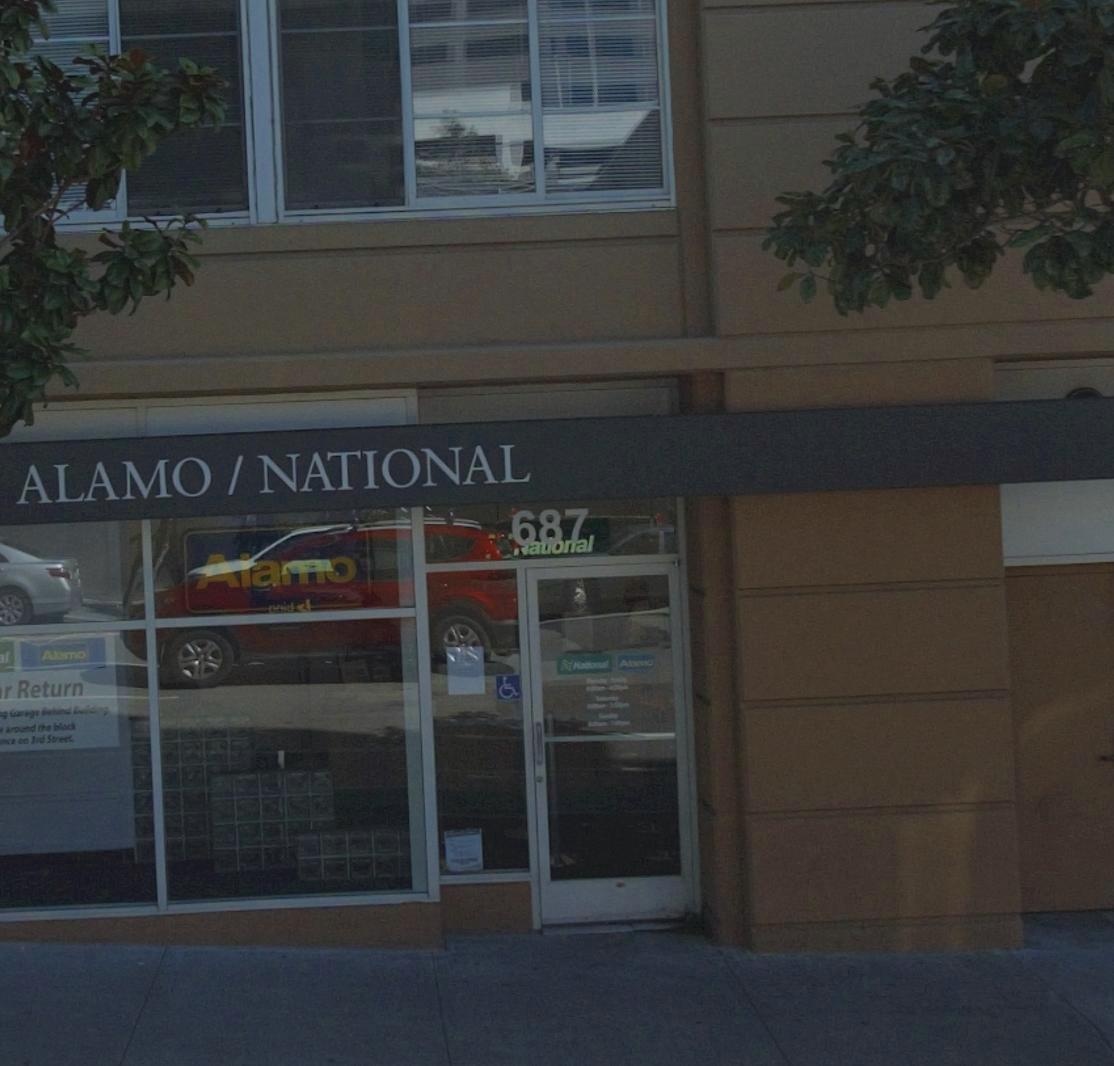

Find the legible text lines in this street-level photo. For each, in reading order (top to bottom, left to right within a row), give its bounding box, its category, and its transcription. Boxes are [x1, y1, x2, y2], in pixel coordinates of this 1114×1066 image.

[7, 437, 540, 511] BusinessName: ALAMO /  NATIONAL
[505, 504, 594, 550] StreetNumber: 687
[189, 545, 365, 595] None: Alamo
[1, 647, 15, 669] None: L
[36, 646, 92, 663] None: Alamo
[570, 658, 611, 672] None: National
[617, 656, 657, 669] None: Alamo
[13, 675, 89, 702] None: Return